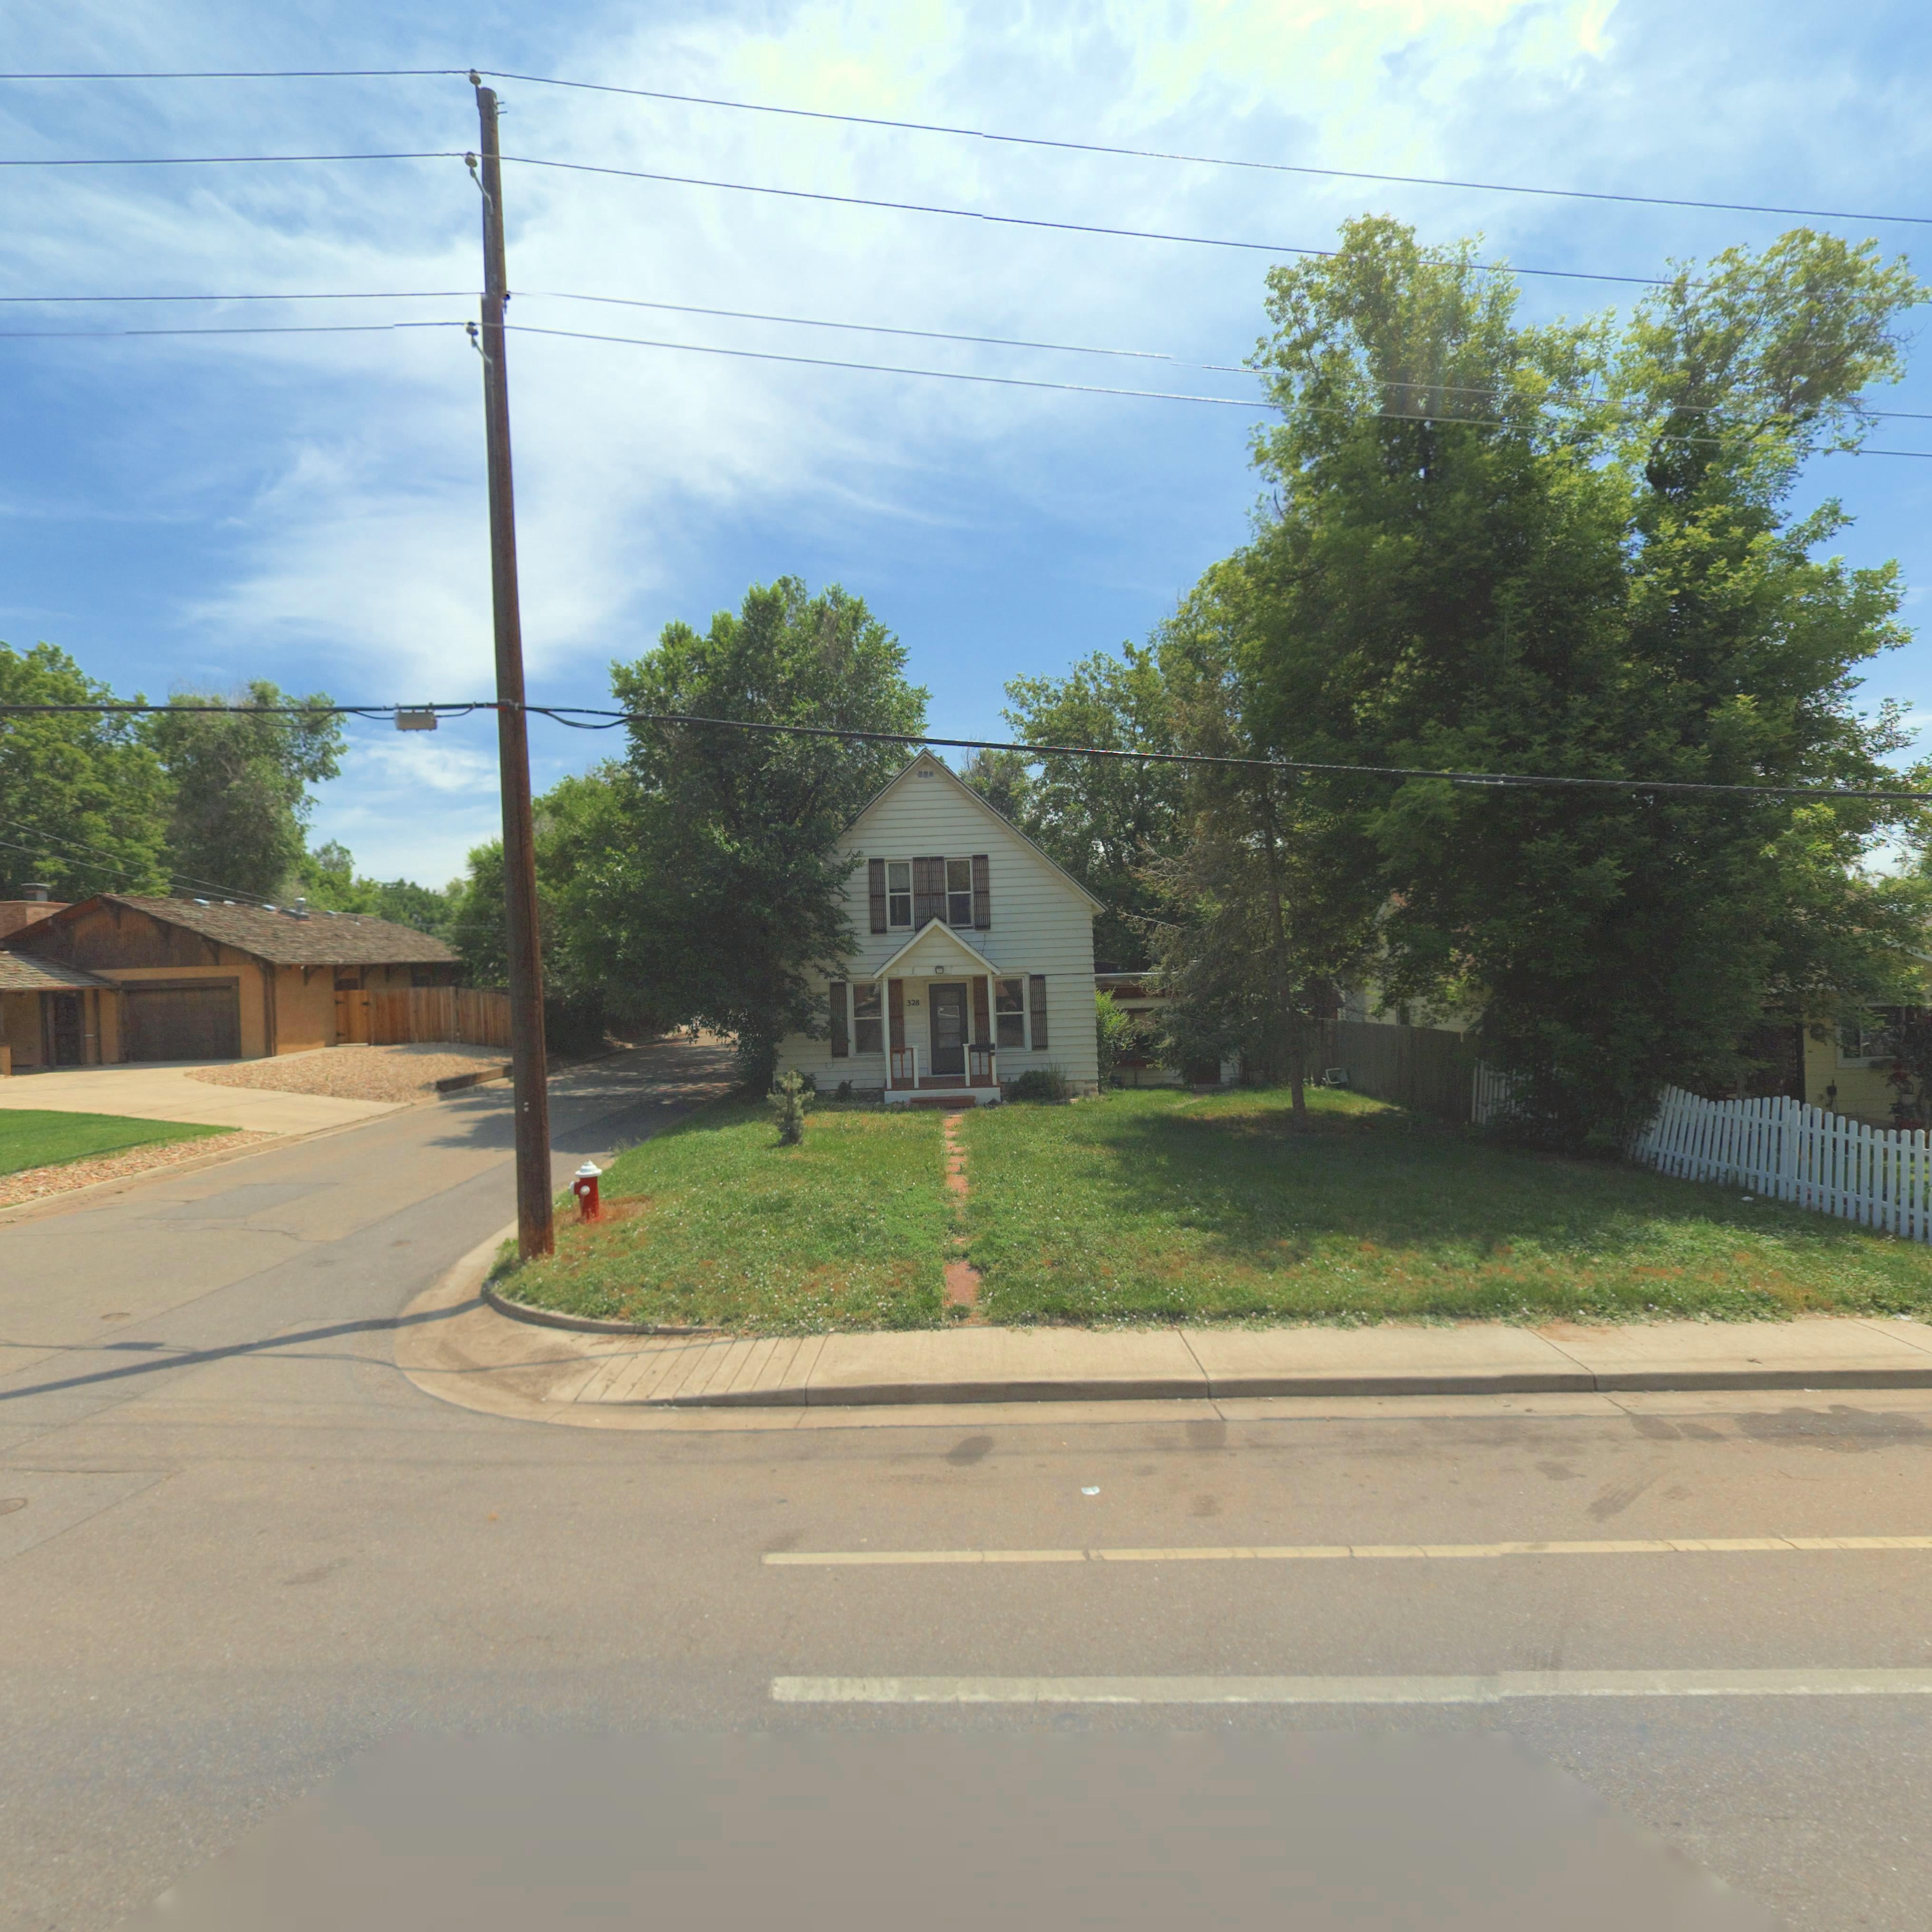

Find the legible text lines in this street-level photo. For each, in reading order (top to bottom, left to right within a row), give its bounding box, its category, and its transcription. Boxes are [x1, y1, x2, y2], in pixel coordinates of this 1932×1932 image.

[907, 999, 919, 1006] StreetNumber: 328